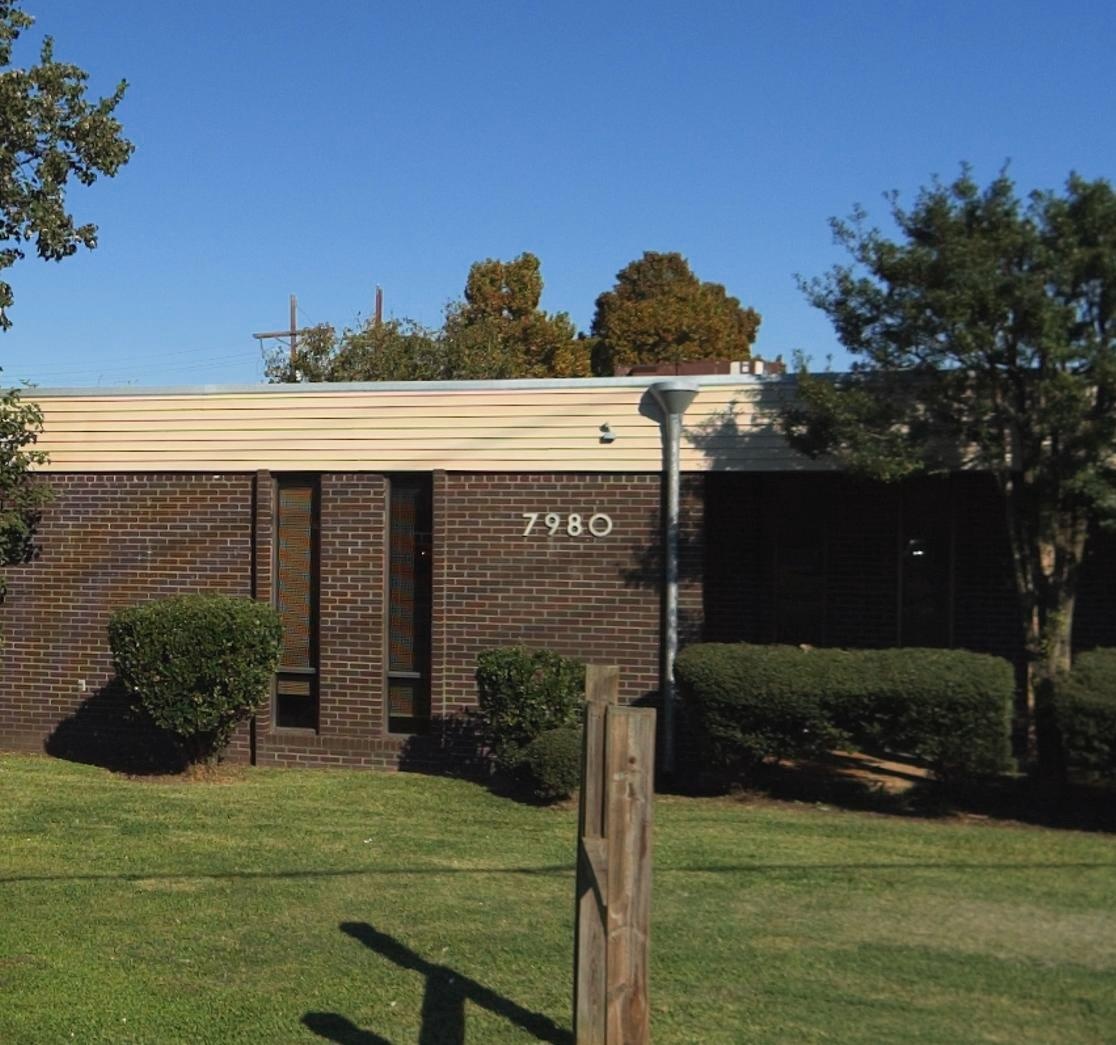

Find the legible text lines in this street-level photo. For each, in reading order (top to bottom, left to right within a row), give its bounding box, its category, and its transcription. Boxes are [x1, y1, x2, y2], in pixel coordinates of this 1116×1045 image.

[519, 511, 614, 539] StreetNumber: 7980